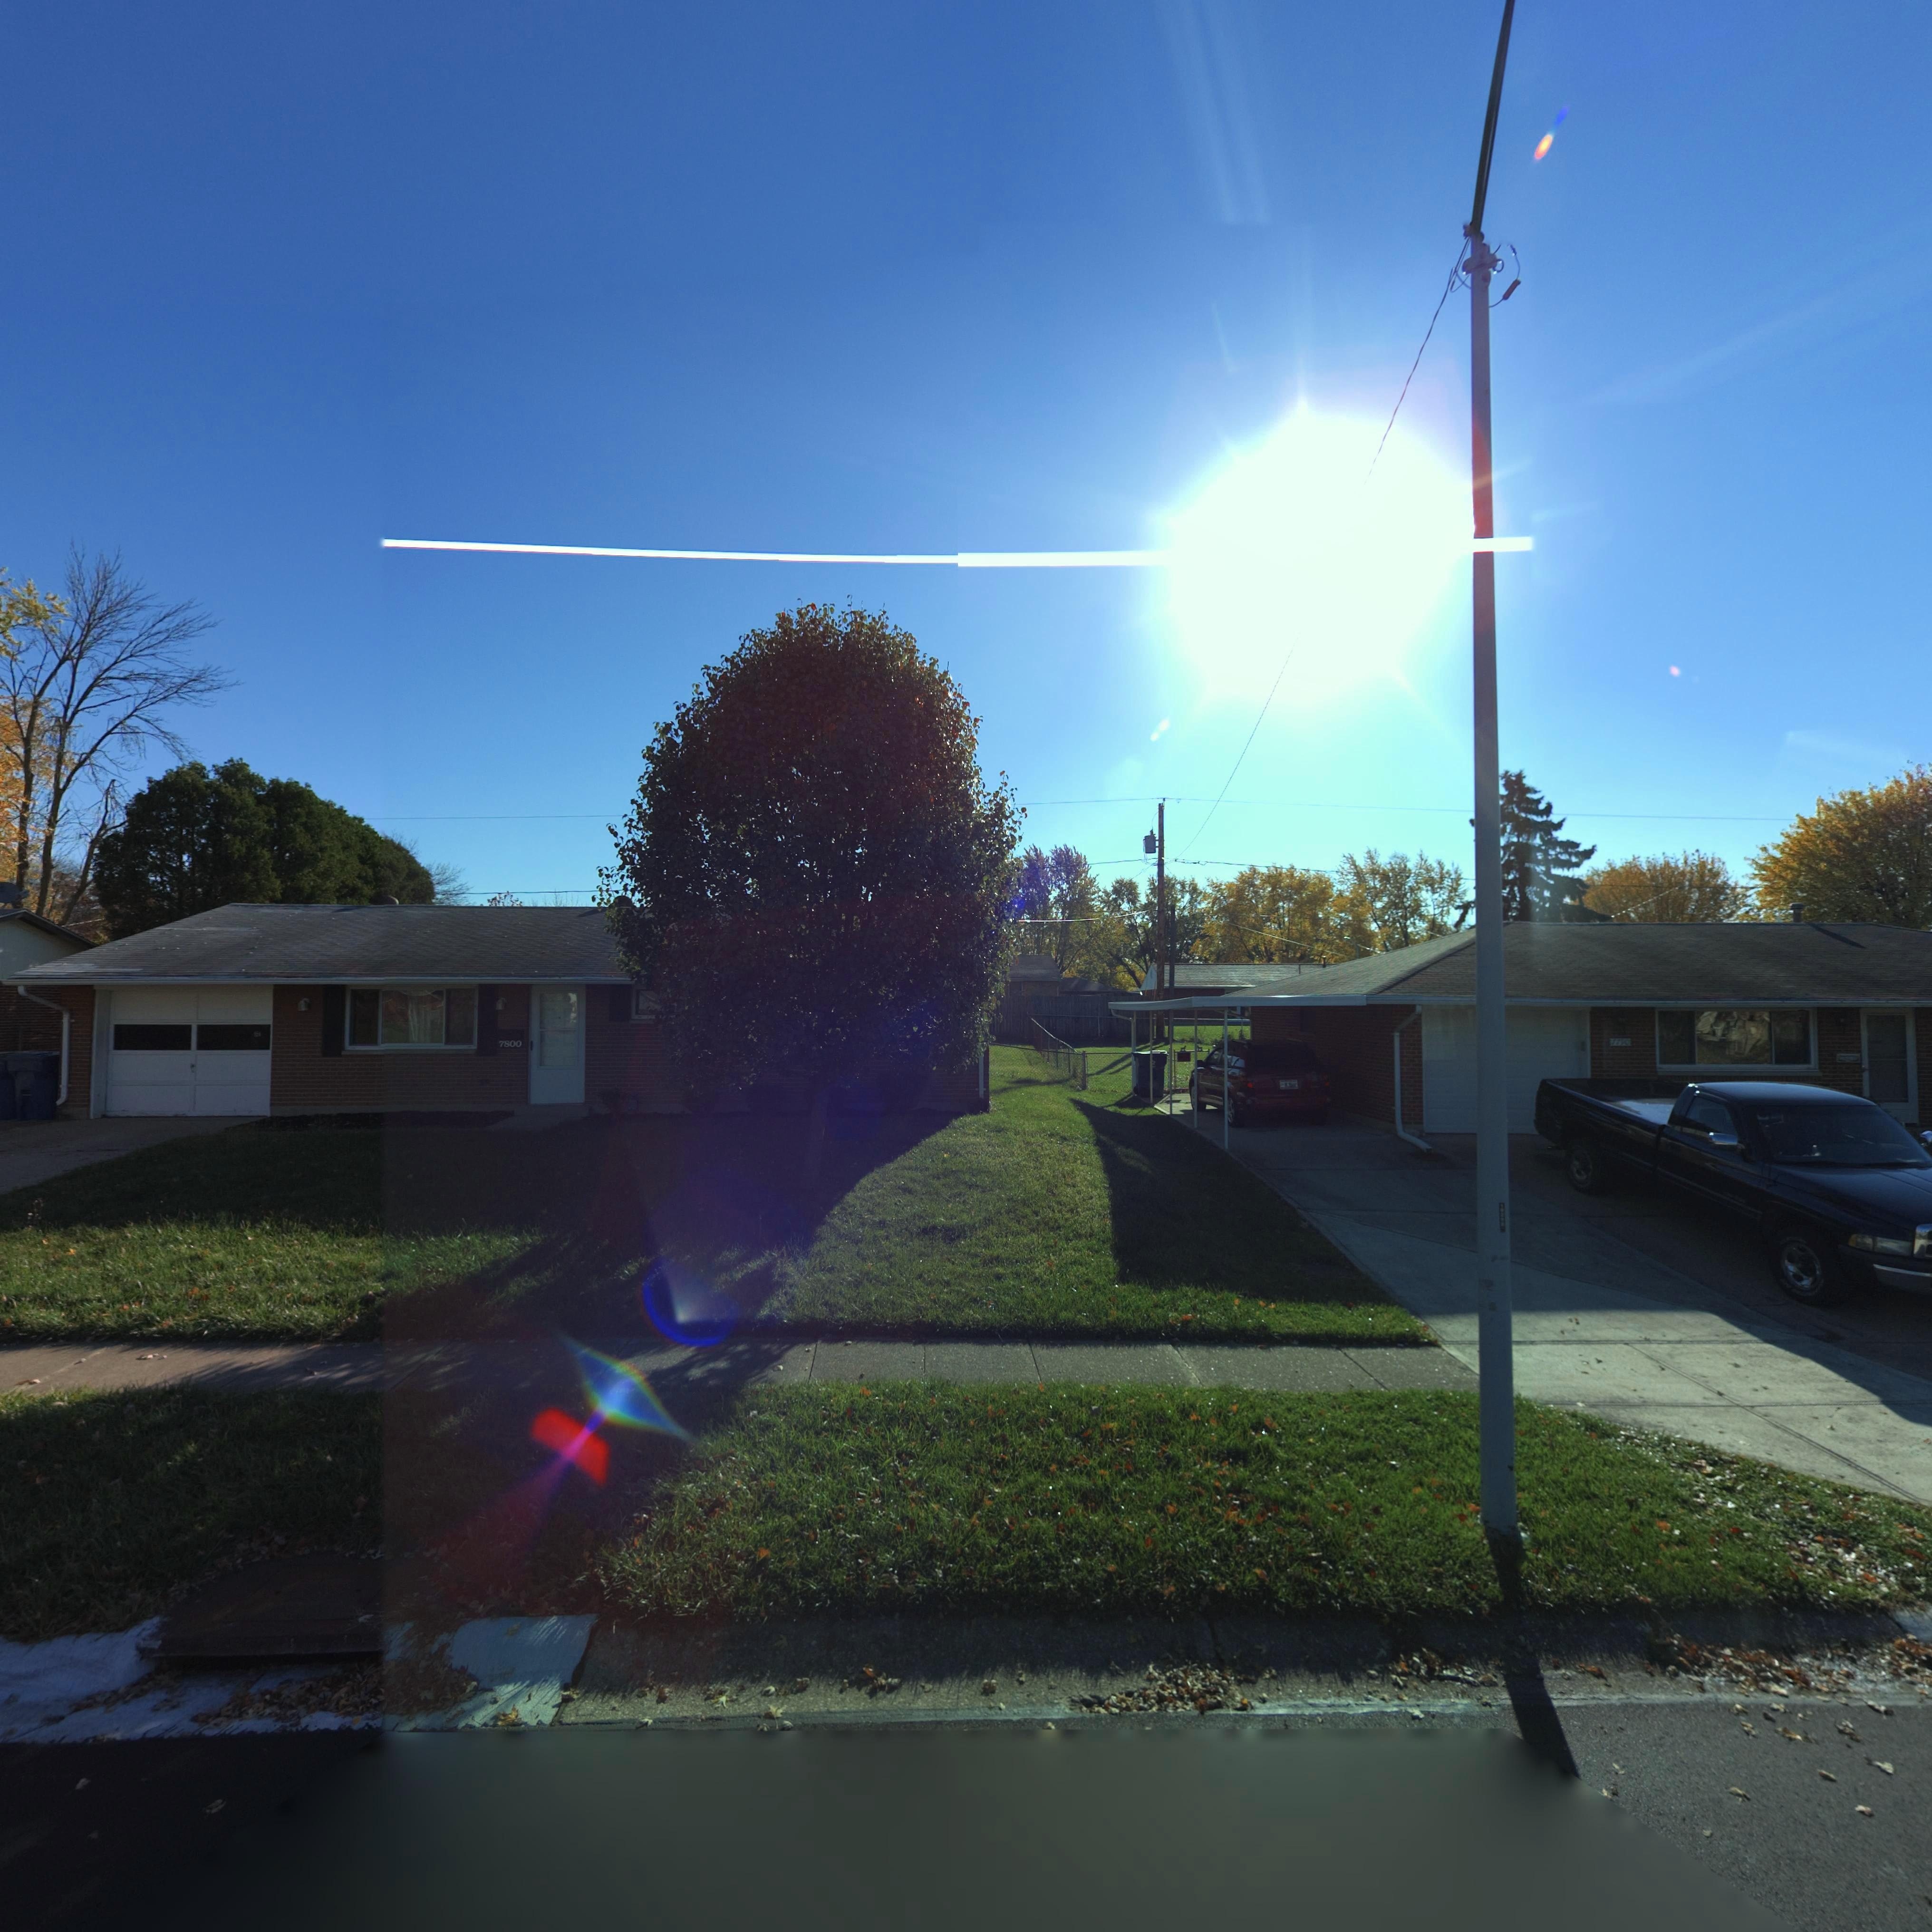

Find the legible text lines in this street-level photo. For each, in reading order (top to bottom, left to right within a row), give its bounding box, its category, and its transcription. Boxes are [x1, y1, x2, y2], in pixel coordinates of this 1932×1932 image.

[497, 1039, 523, 1049] StreetNumber: 7800
[1610, 1038, 1631, 1046] StreetNumber: ***0